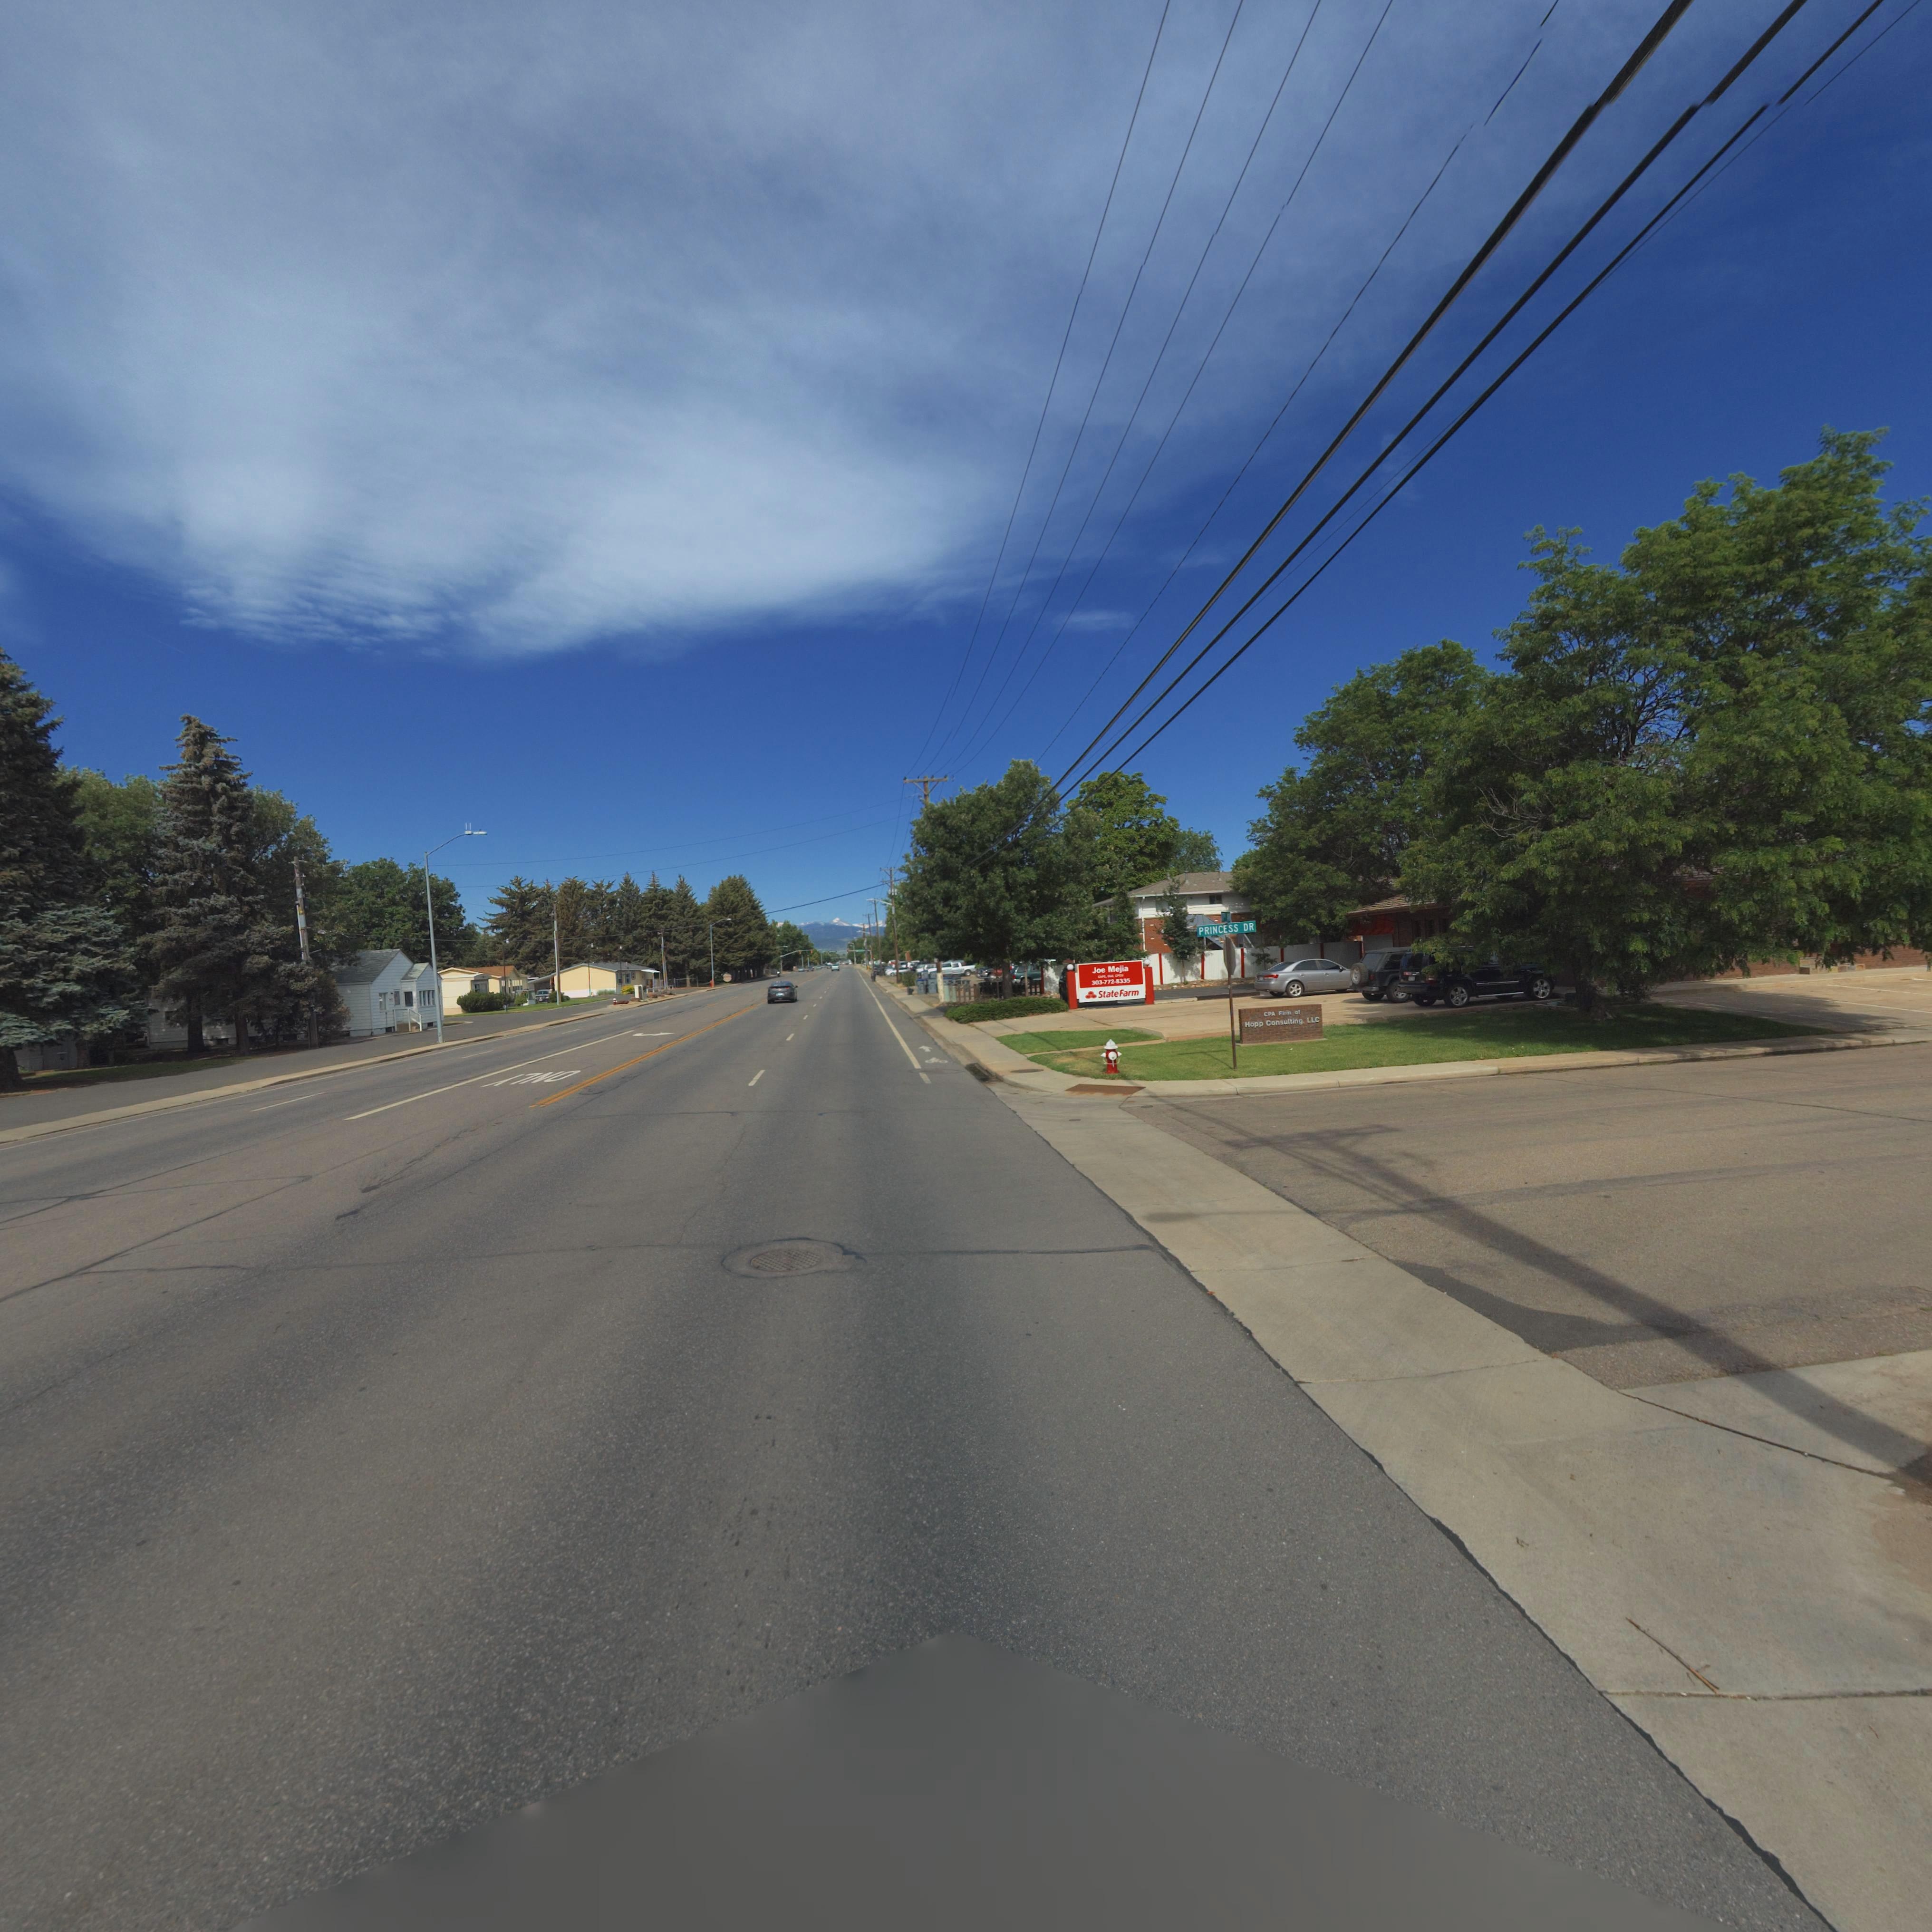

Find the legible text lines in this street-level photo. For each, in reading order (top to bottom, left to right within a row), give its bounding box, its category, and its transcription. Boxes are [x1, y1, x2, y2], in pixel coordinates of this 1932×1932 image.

[1198, 922, 1254, 935] StreetName: PRINCESS DR
[1098, 989, 1139, 998] BusinessName: State Farm
[1245, 1016, 1320, 1028] BusinessName: Hopp Consulting, LLC